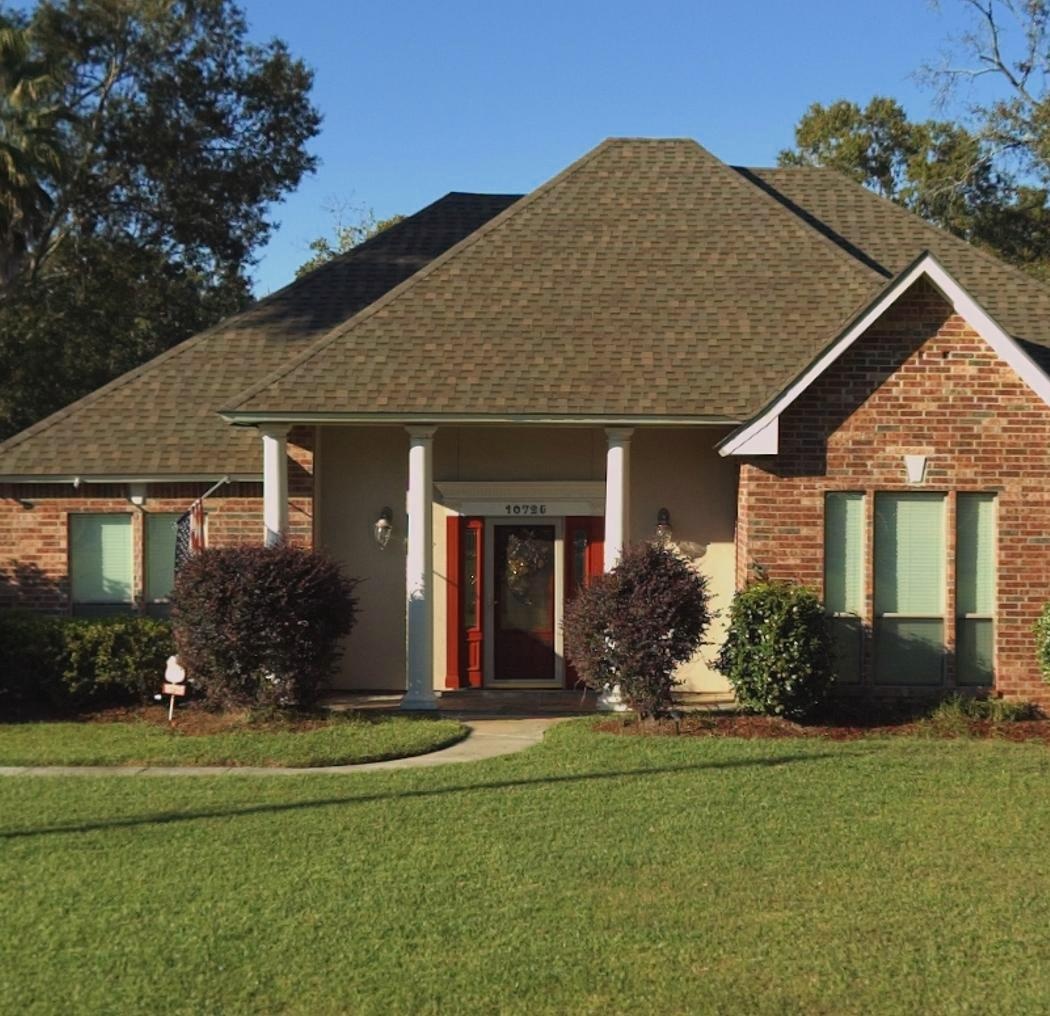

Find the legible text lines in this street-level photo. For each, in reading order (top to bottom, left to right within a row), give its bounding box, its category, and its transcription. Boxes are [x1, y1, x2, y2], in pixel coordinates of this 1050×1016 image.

[504, 503, 548, 515] StreetNumber: 107*6